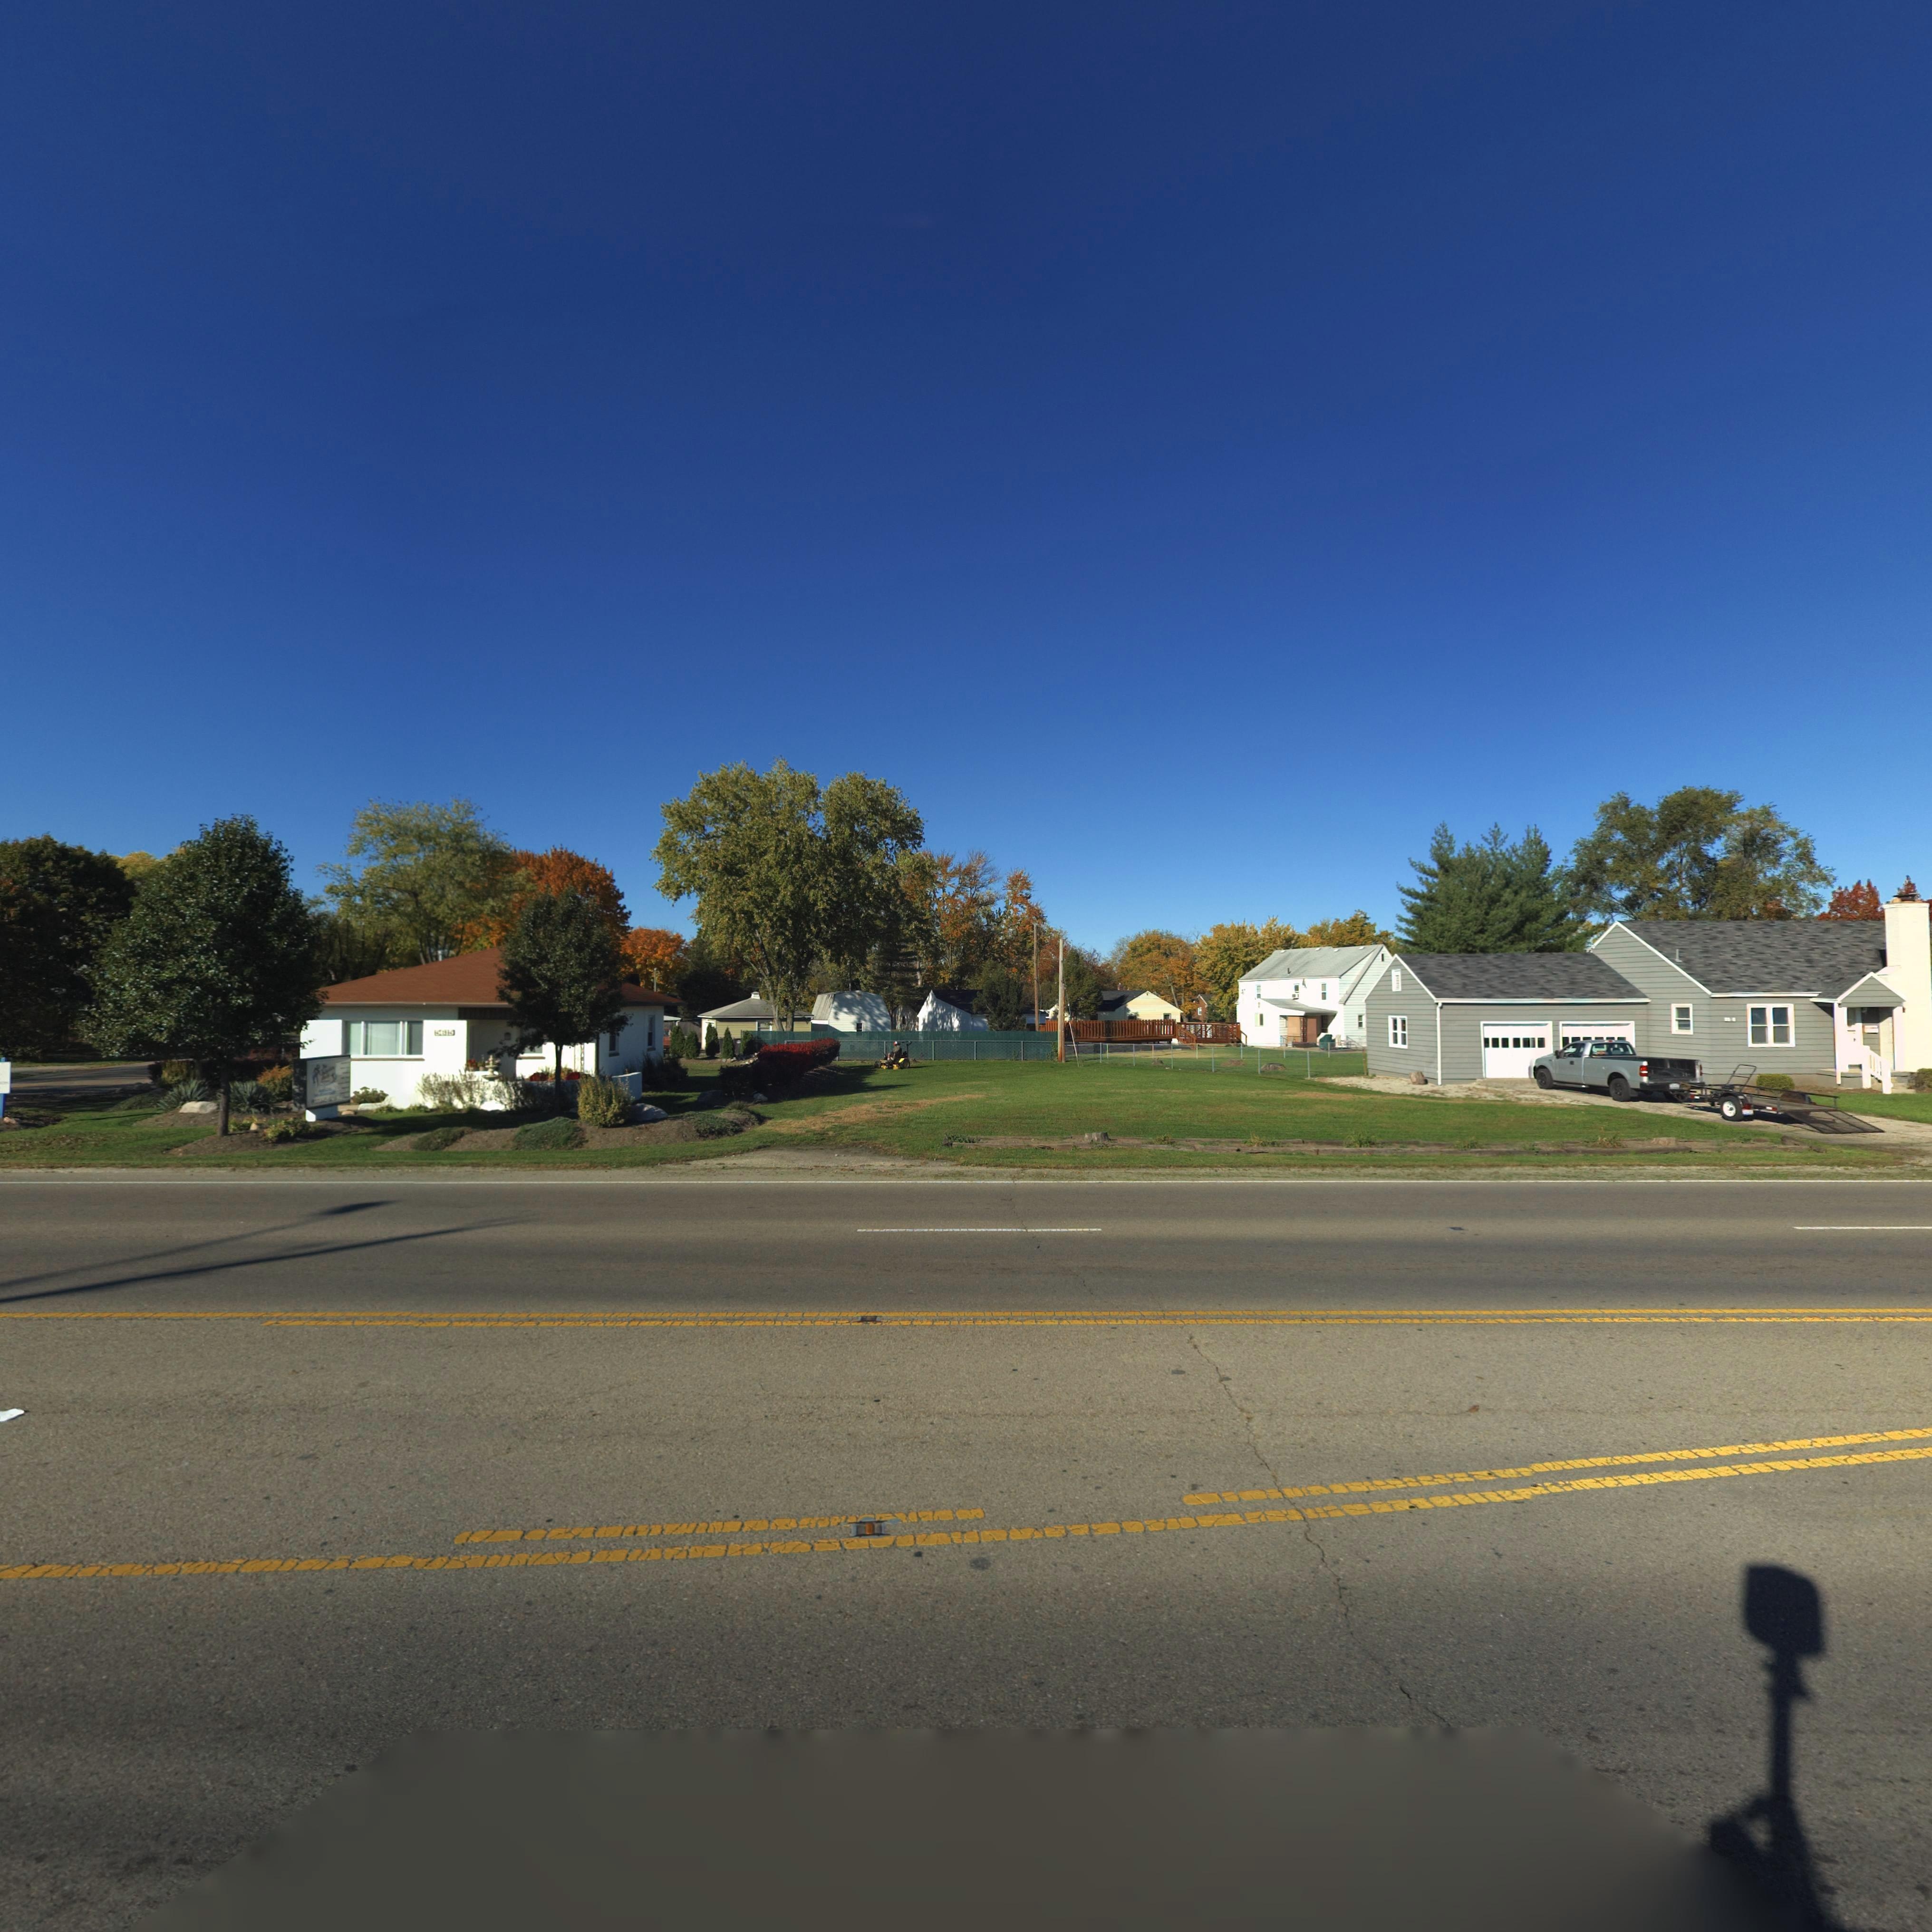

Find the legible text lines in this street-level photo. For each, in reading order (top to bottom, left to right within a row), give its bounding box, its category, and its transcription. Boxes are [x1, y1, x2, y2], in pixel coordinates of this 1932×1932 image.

[435, 1029, 454, 1036] StreetNumber: 5615